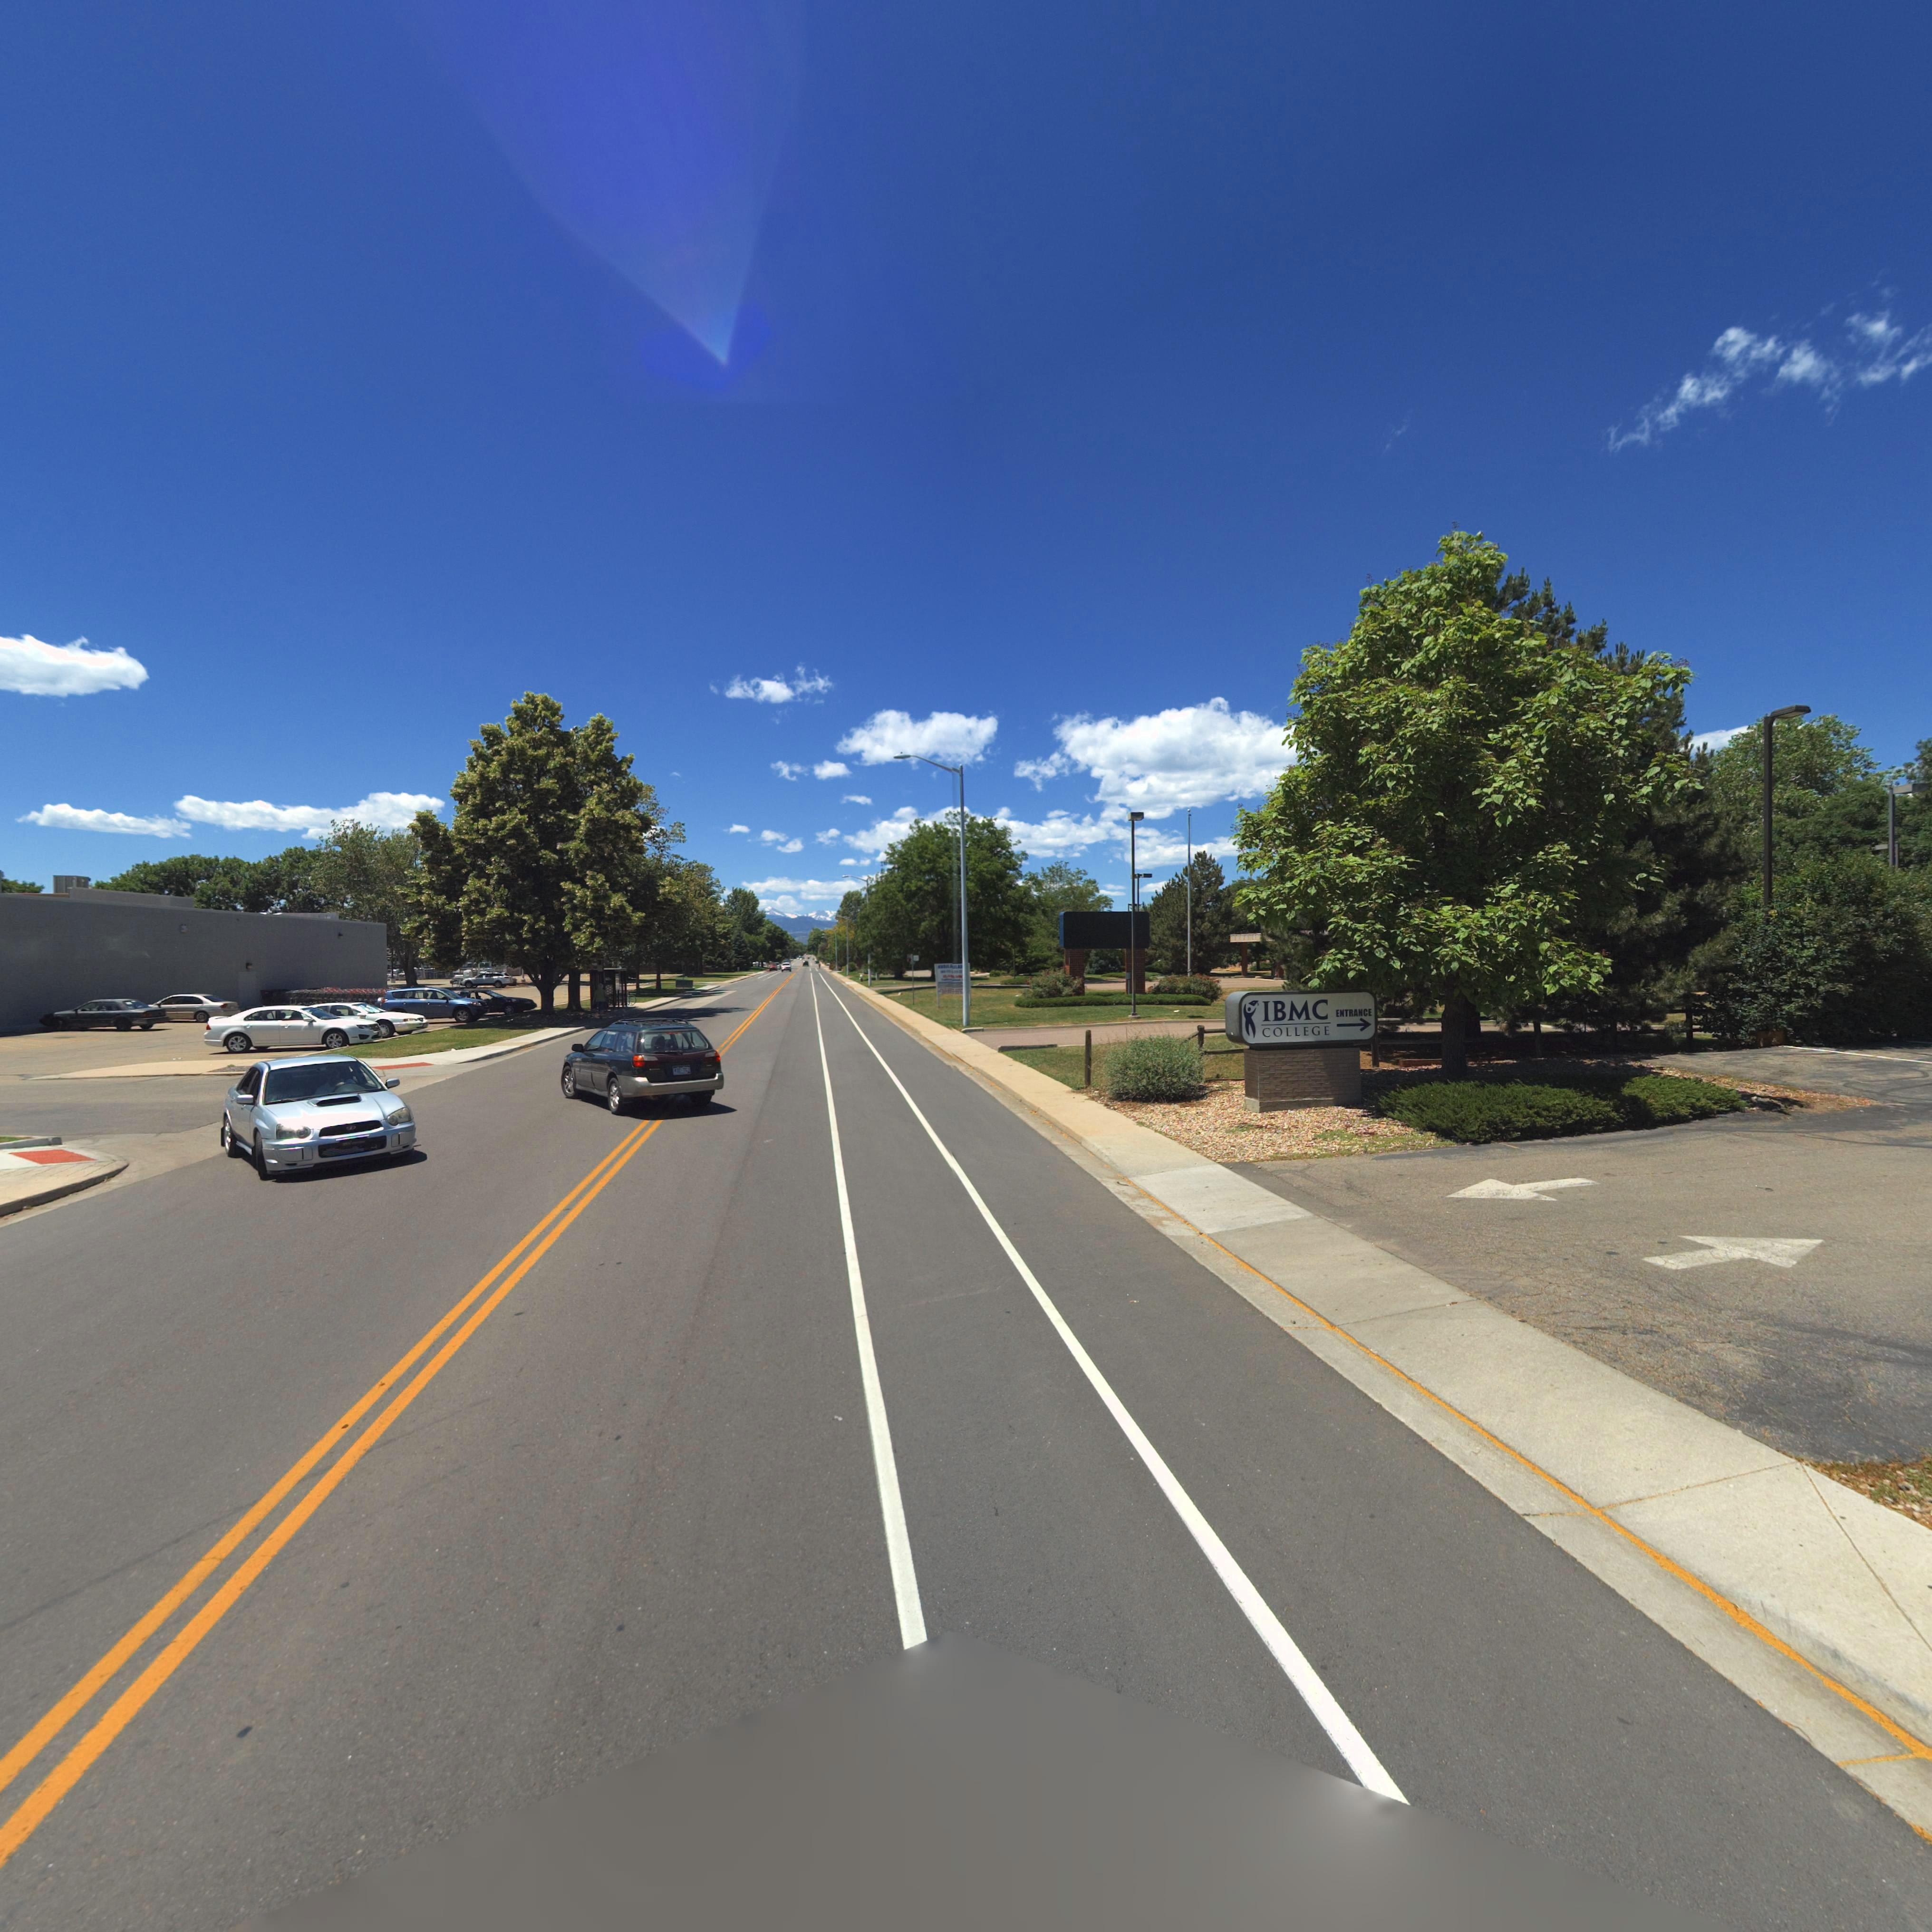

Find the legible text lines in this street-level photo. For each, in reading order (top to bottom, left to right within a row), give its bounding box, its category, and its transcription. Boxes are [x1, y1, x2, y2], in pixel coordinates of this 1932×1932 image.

[1261, 998, 1328, 1022] BusinessName: IBMC
[1262, 1025, 1330, 1037] BusinessName: COLLEGE